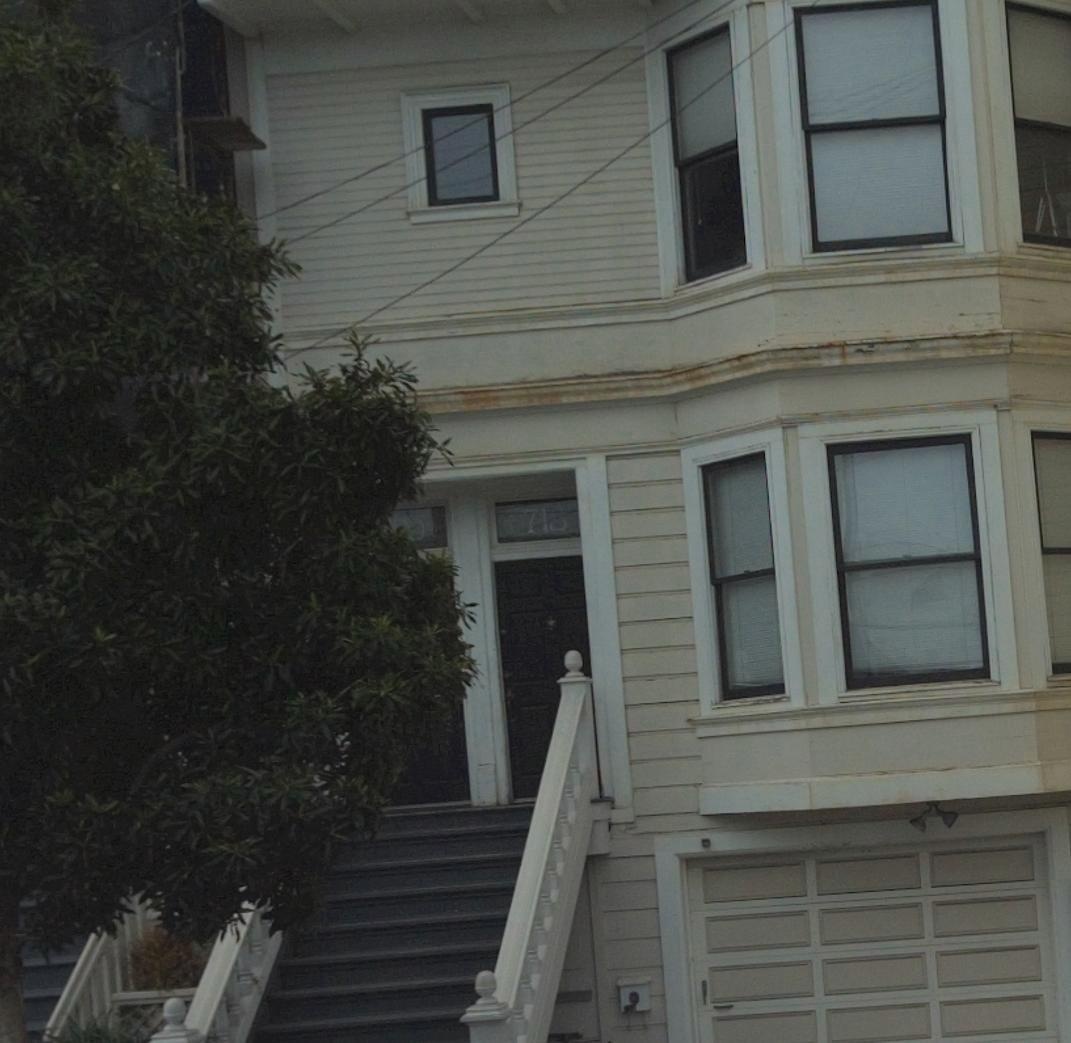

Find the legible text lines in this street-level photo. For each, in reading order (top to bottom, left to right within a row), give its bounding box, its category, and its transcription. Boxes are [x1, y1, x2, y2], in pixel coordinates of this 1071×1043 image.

[521, 505, 571, 535] StreetNumber: 718